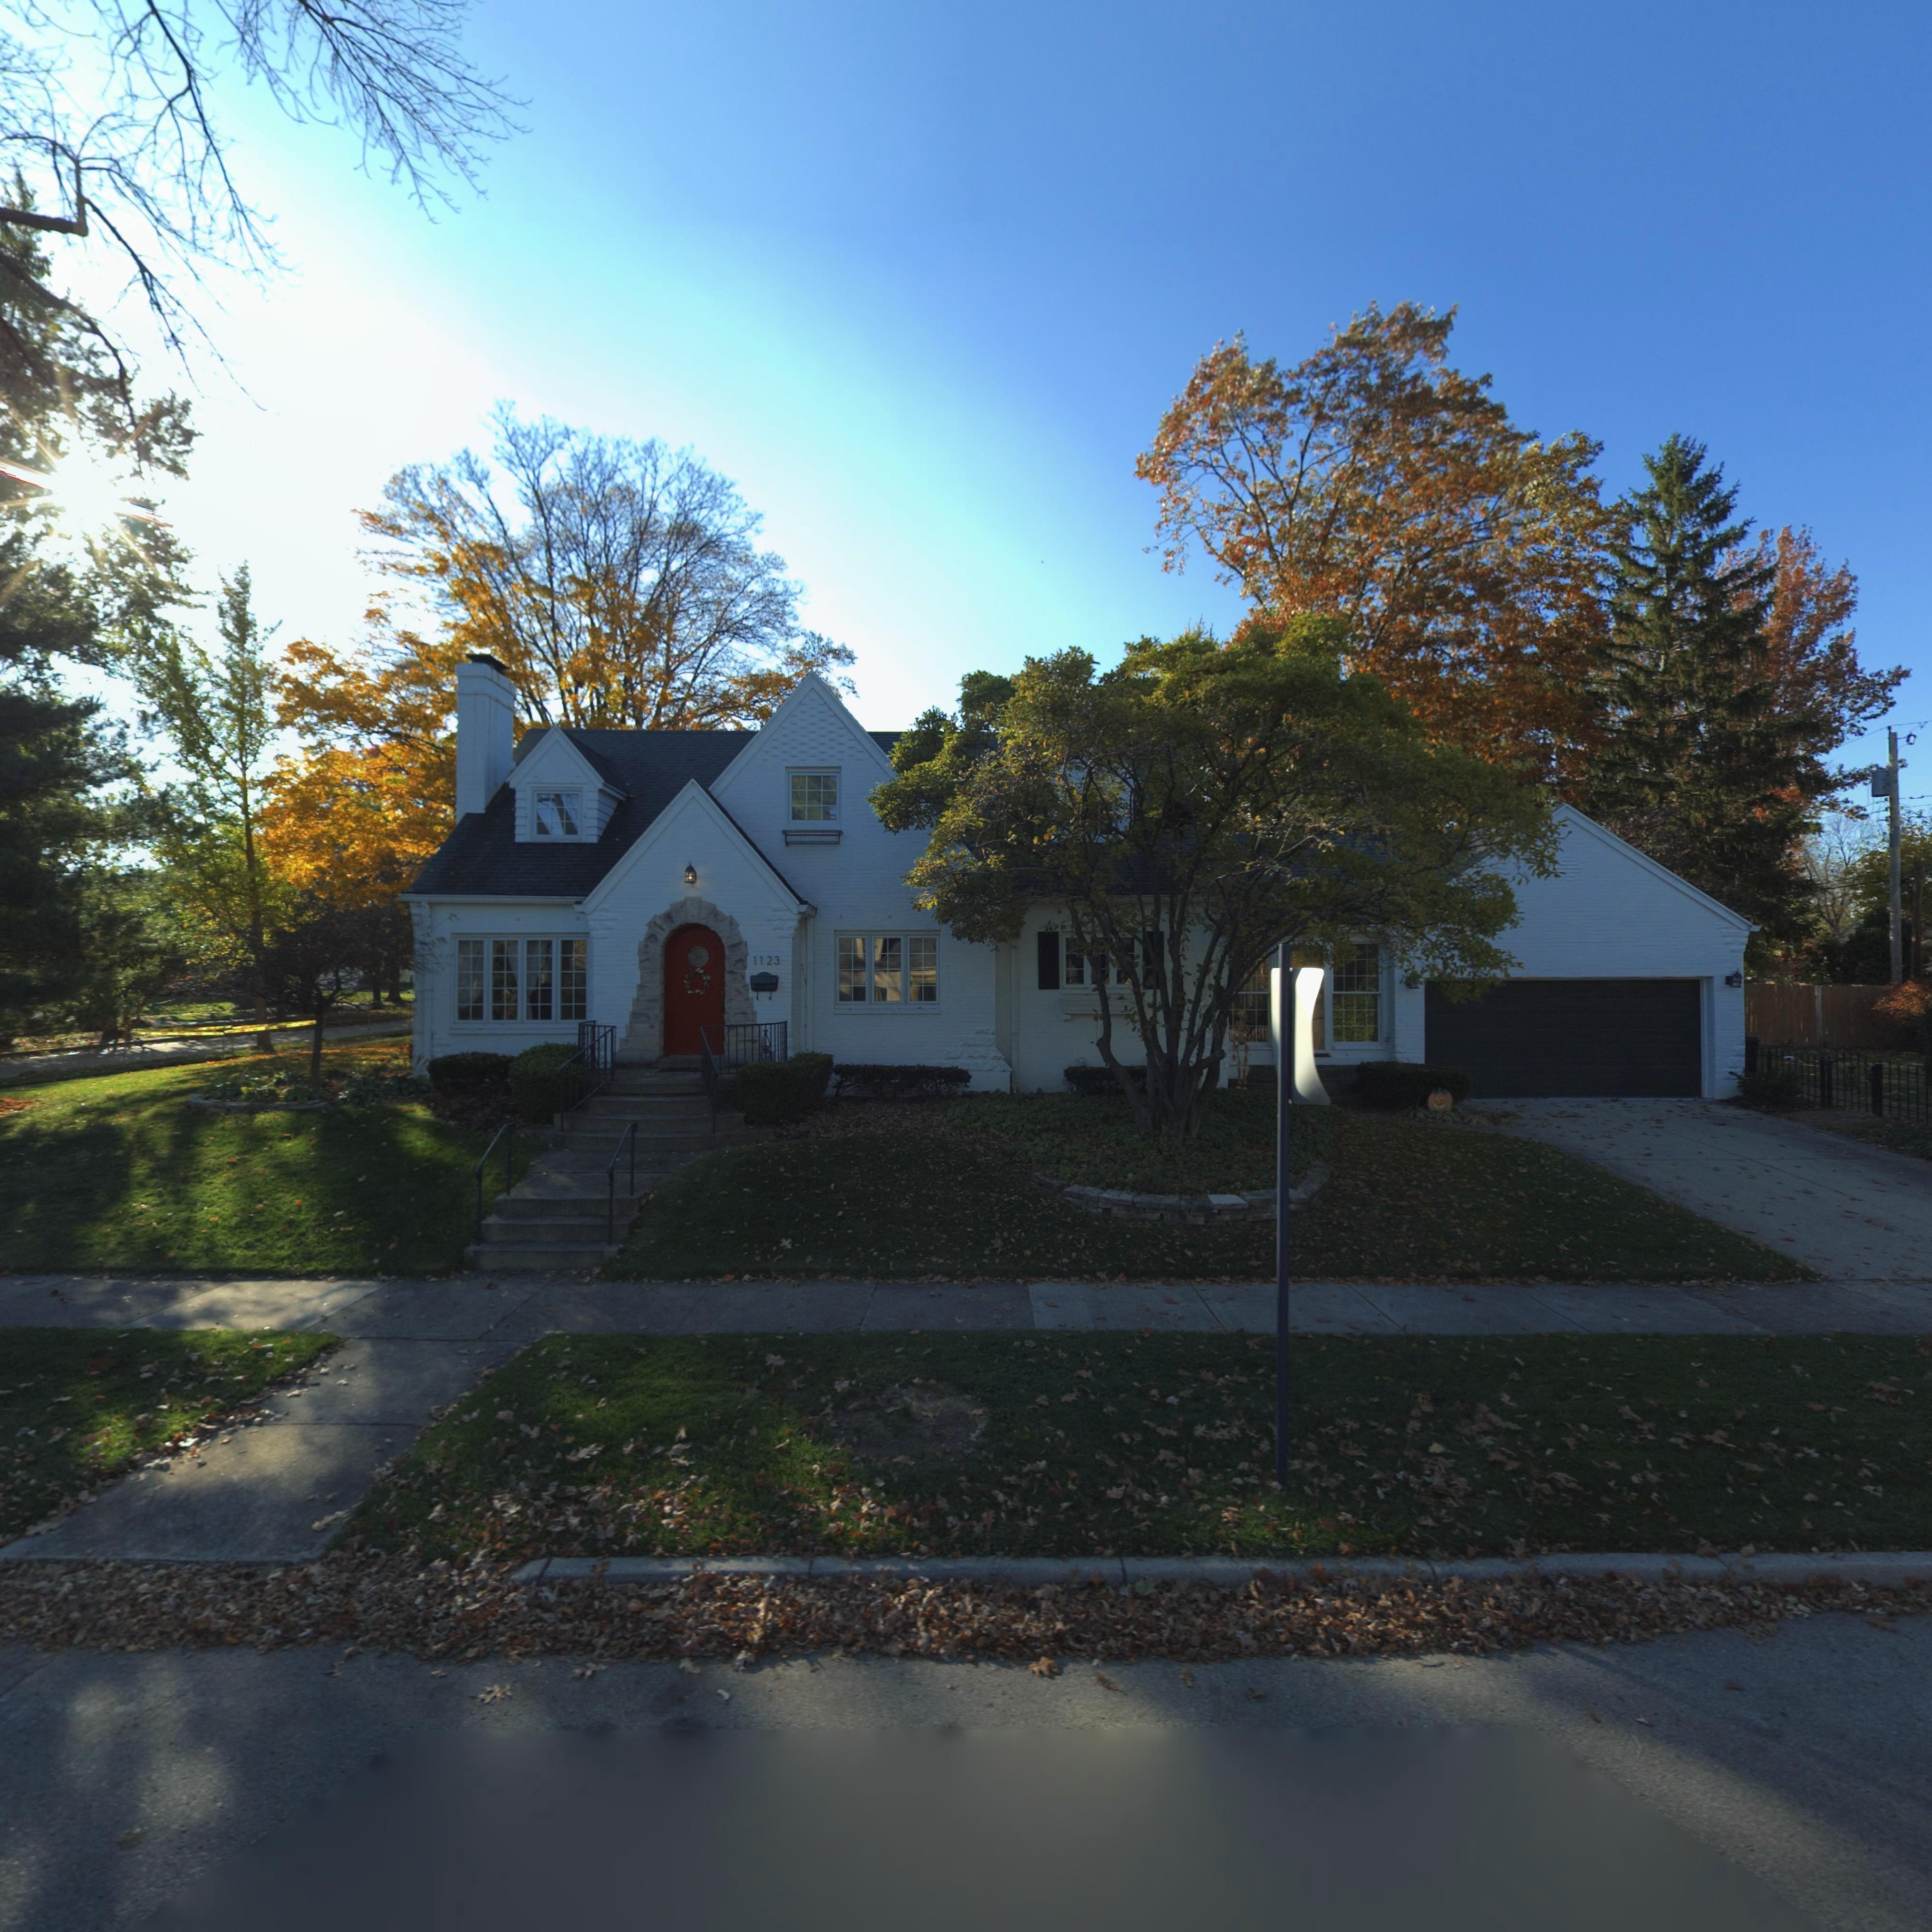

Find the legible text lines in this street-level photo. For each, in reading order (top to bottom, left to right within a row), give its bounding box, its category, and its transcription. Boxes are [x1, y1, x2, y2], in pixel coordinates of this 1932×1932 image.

[753, 955, 780, 966] StreetNumber: 1123